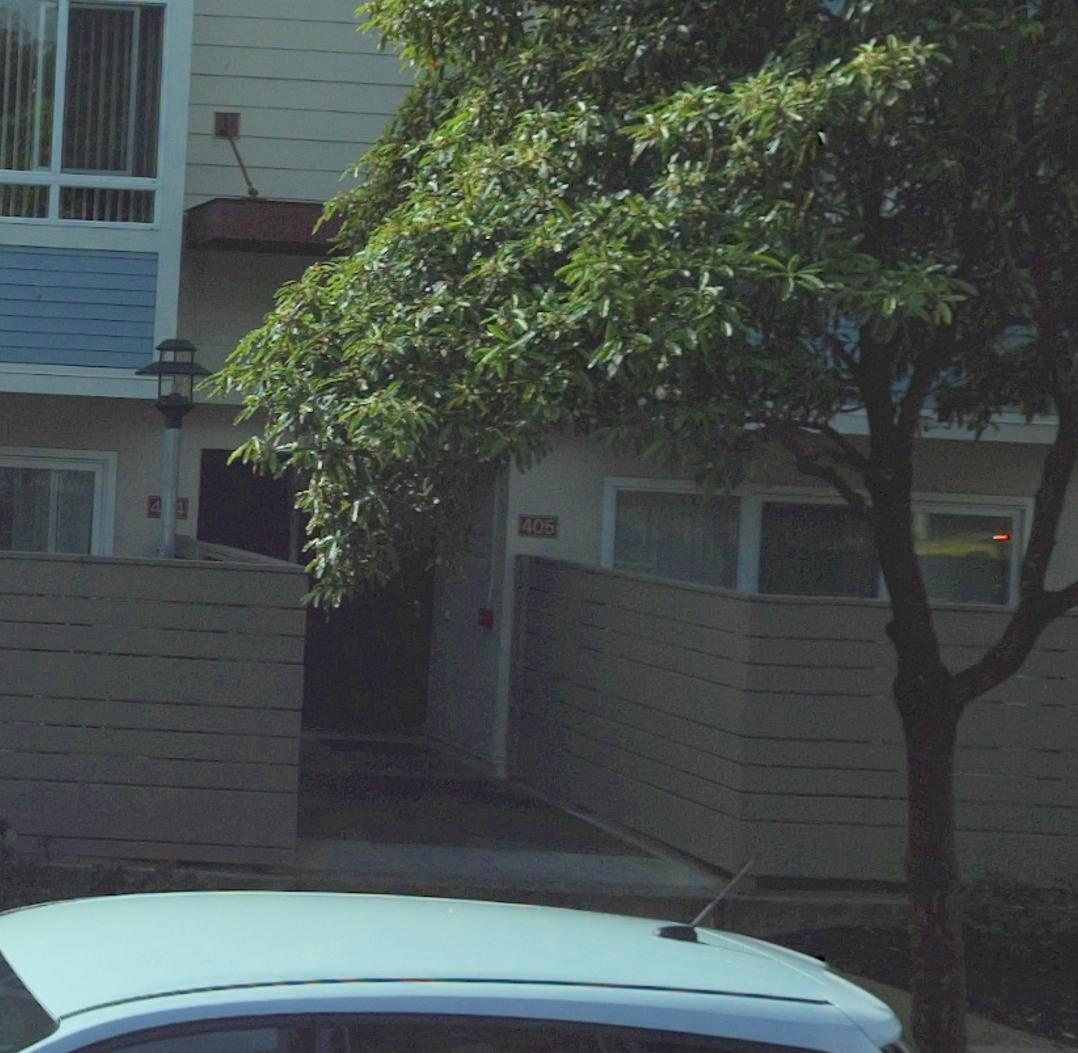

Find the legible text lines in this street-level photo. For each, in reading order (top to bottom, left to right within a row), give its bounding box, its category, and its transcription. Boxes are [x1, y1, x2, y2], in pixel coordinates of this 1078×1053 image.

[147, 497, 164, 518] StreetNumber: 4
[520, 516, 556, 537] StreetNumber: 405